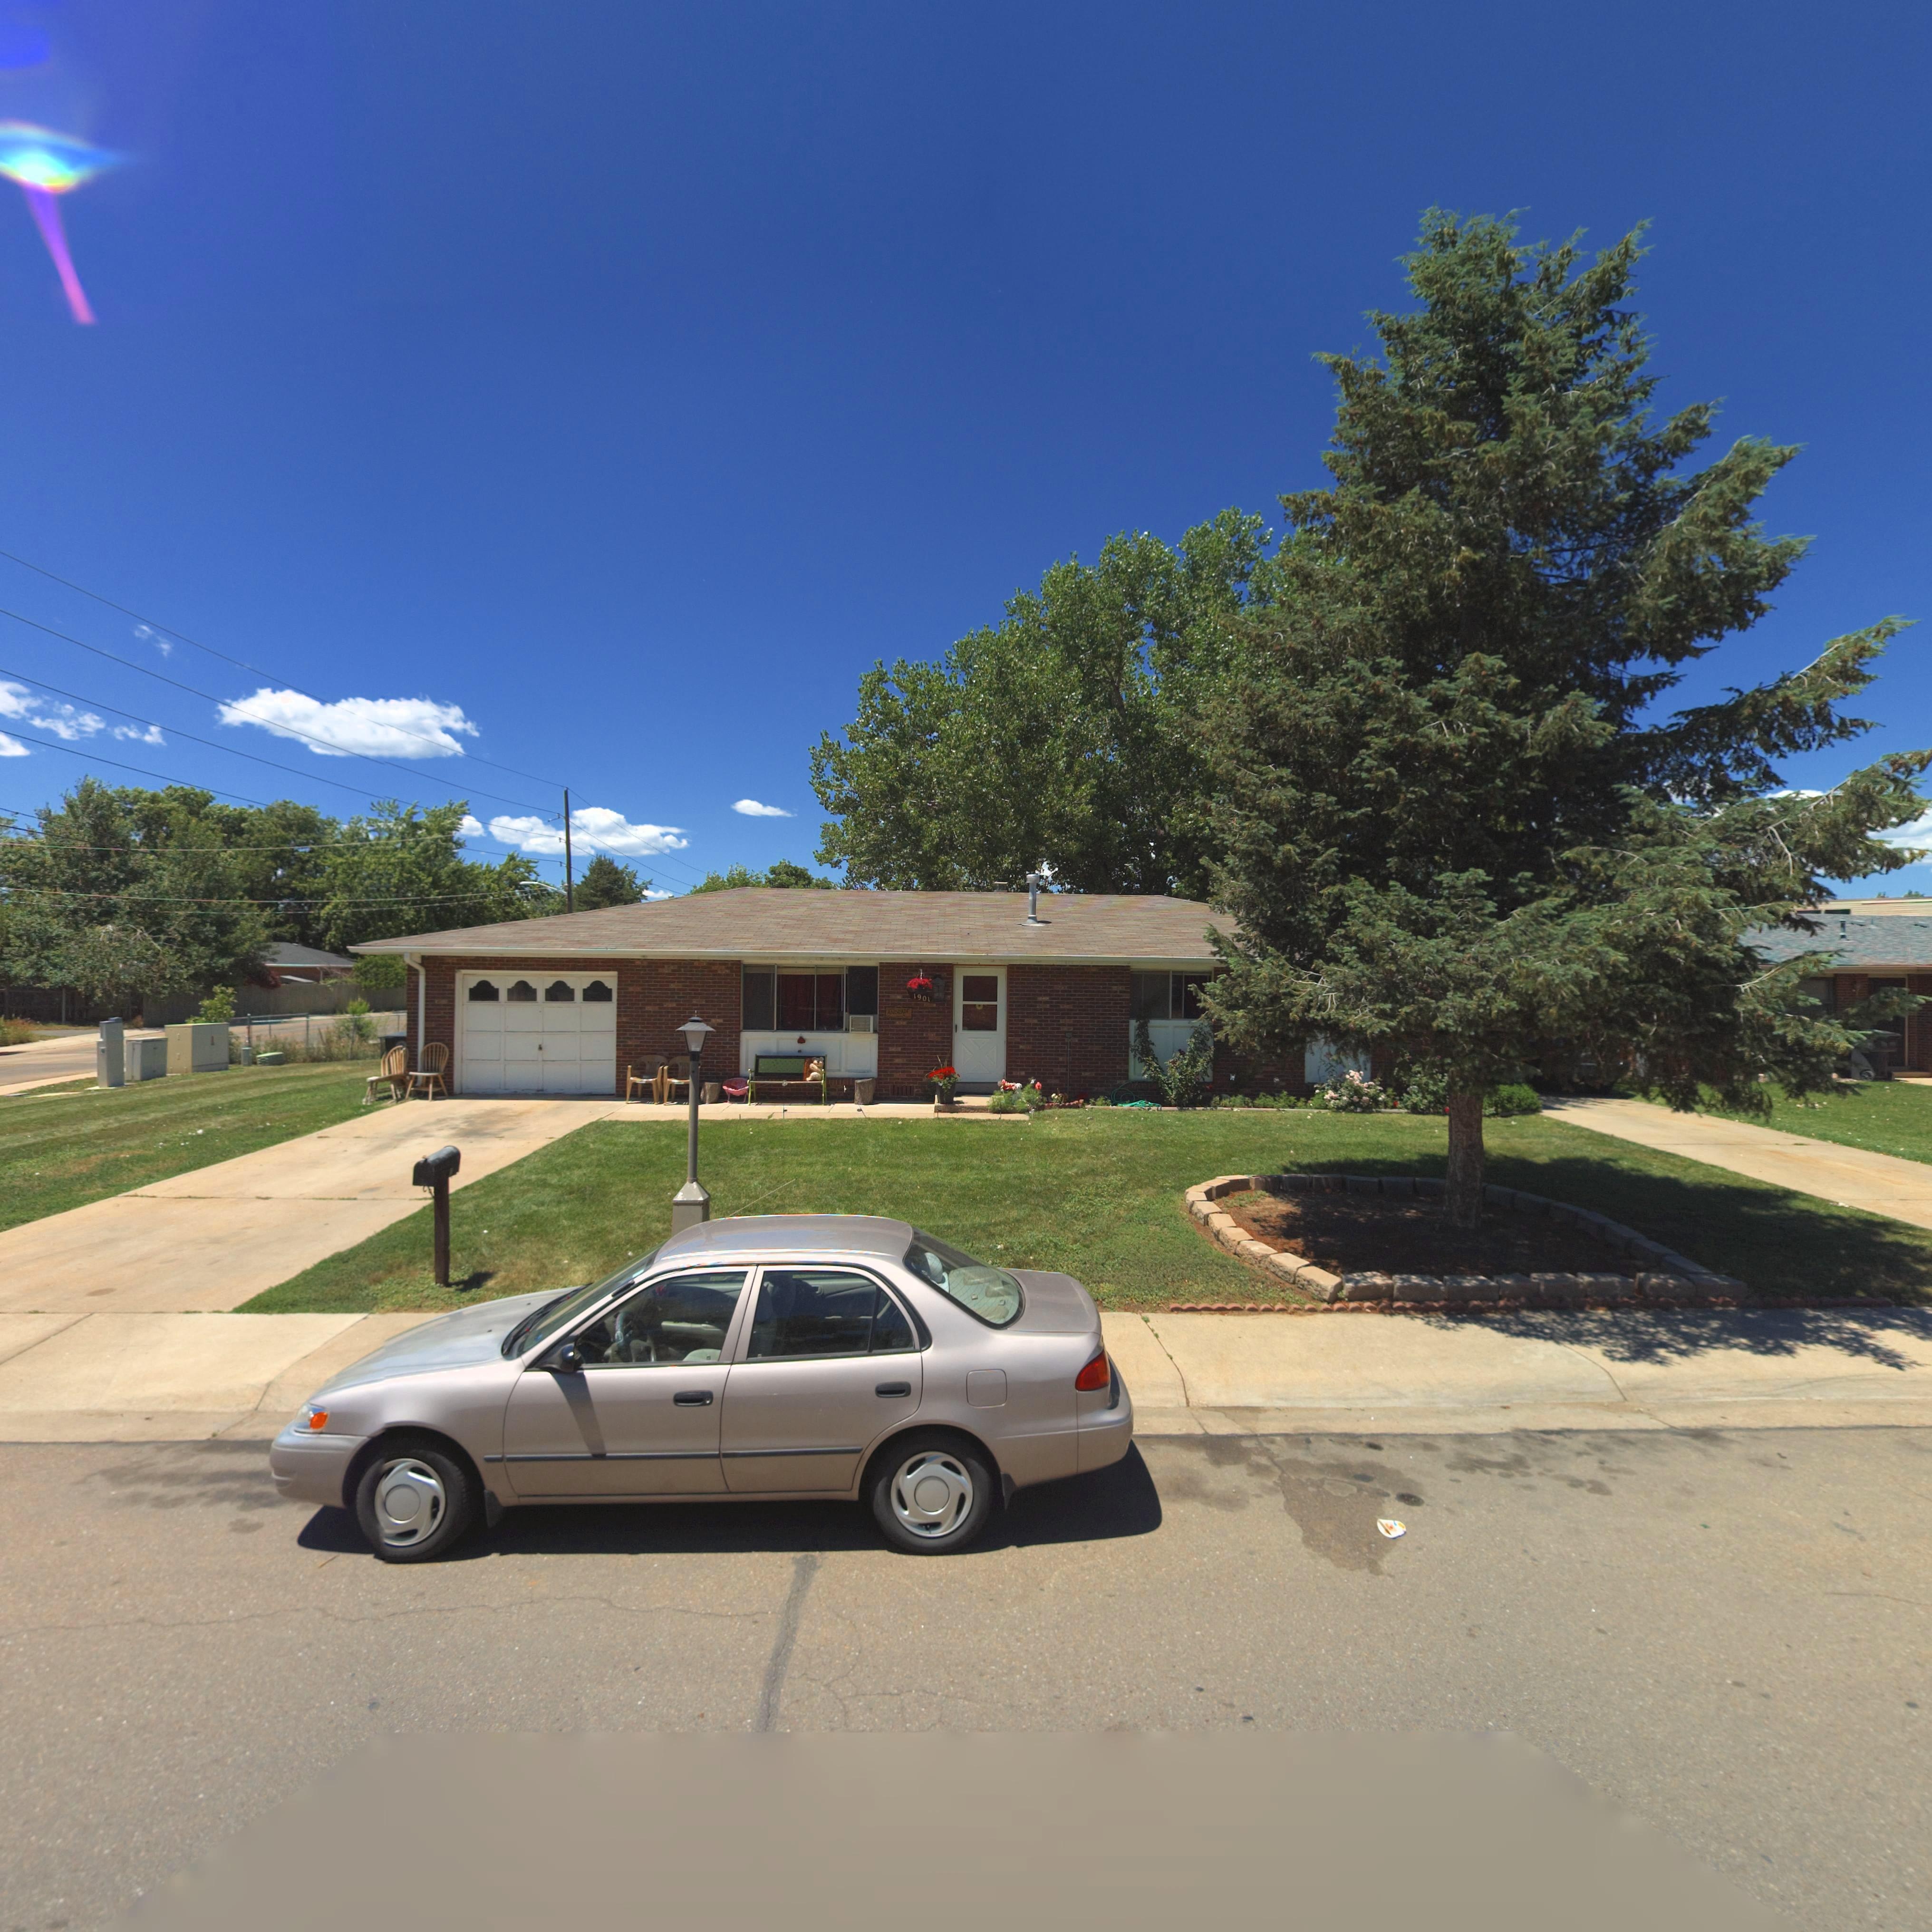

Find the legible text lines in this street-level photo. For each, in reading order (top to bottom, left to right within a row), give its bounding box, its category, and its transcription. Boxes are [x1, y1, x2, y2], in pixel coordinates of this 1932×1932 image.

[914, 993, 930, 1002] StreetNumber: 1901